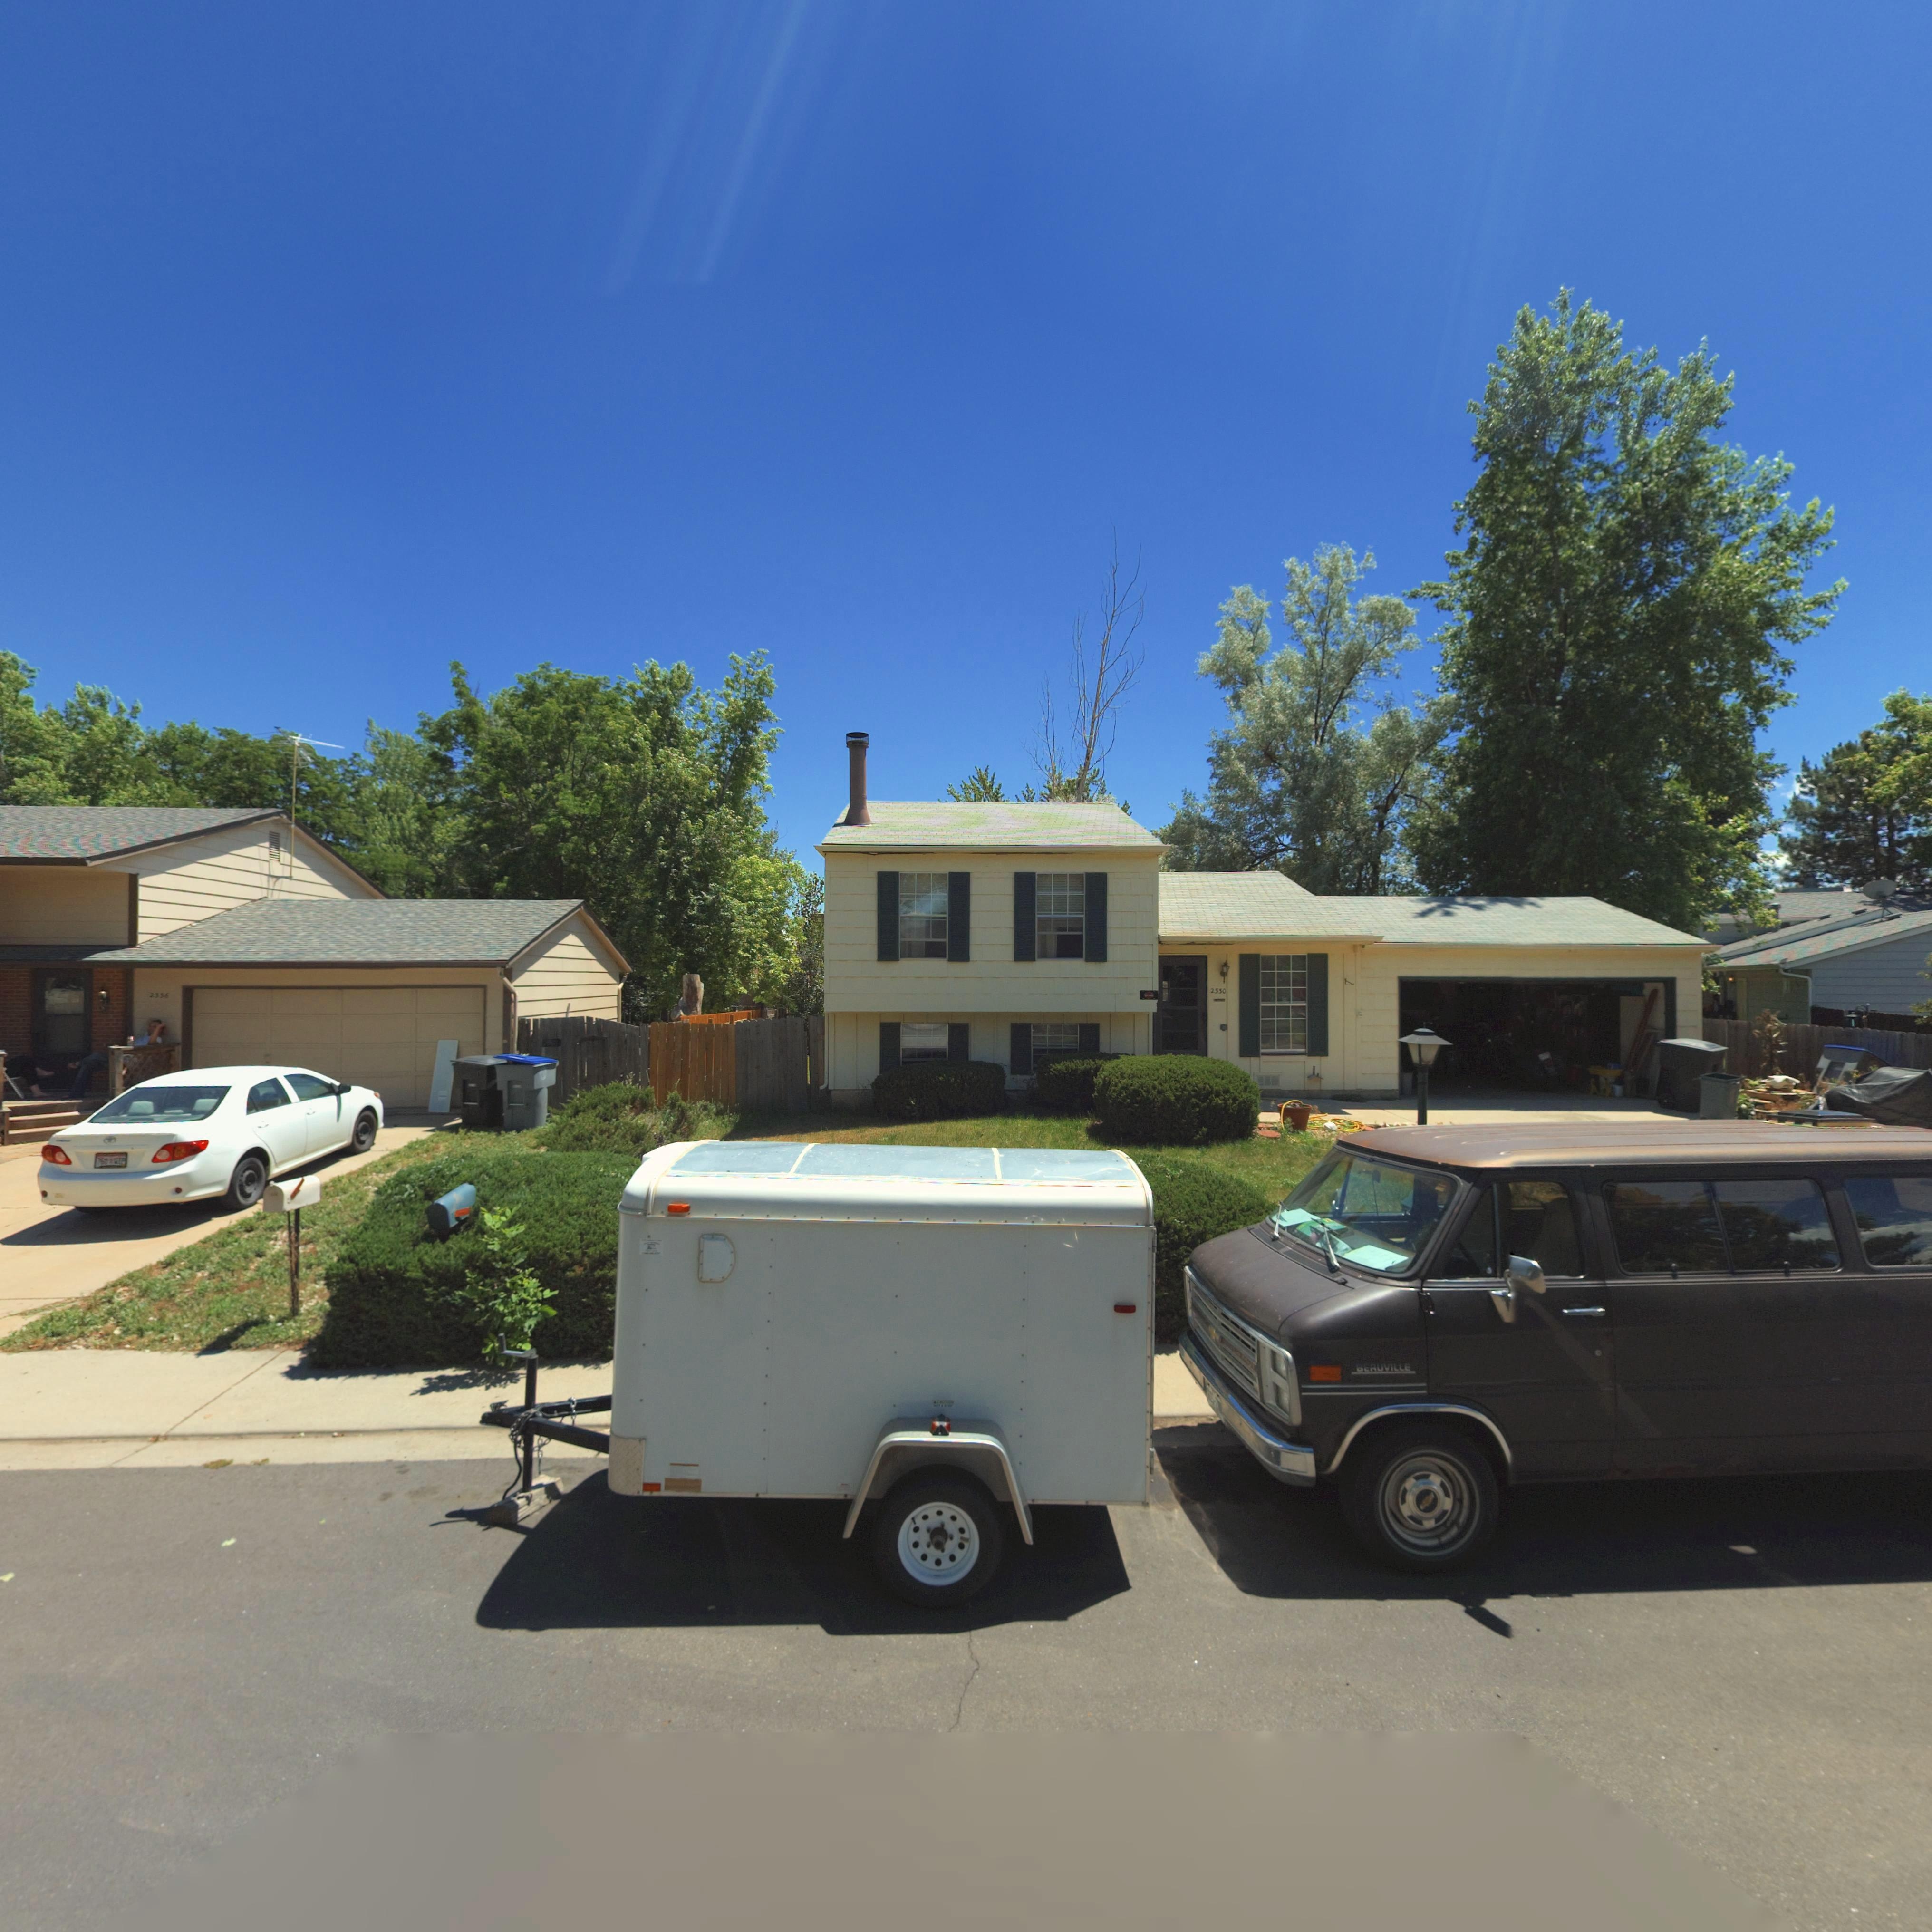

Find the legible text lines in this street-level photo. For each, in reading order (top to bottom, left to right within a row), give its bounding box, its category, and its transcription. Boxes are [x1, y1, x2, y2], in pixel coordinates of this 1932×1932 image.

[1210, 988, 1227, 994] StreetNumber: 2330
[149, 992, 170, 999] StreetNumber: 2336